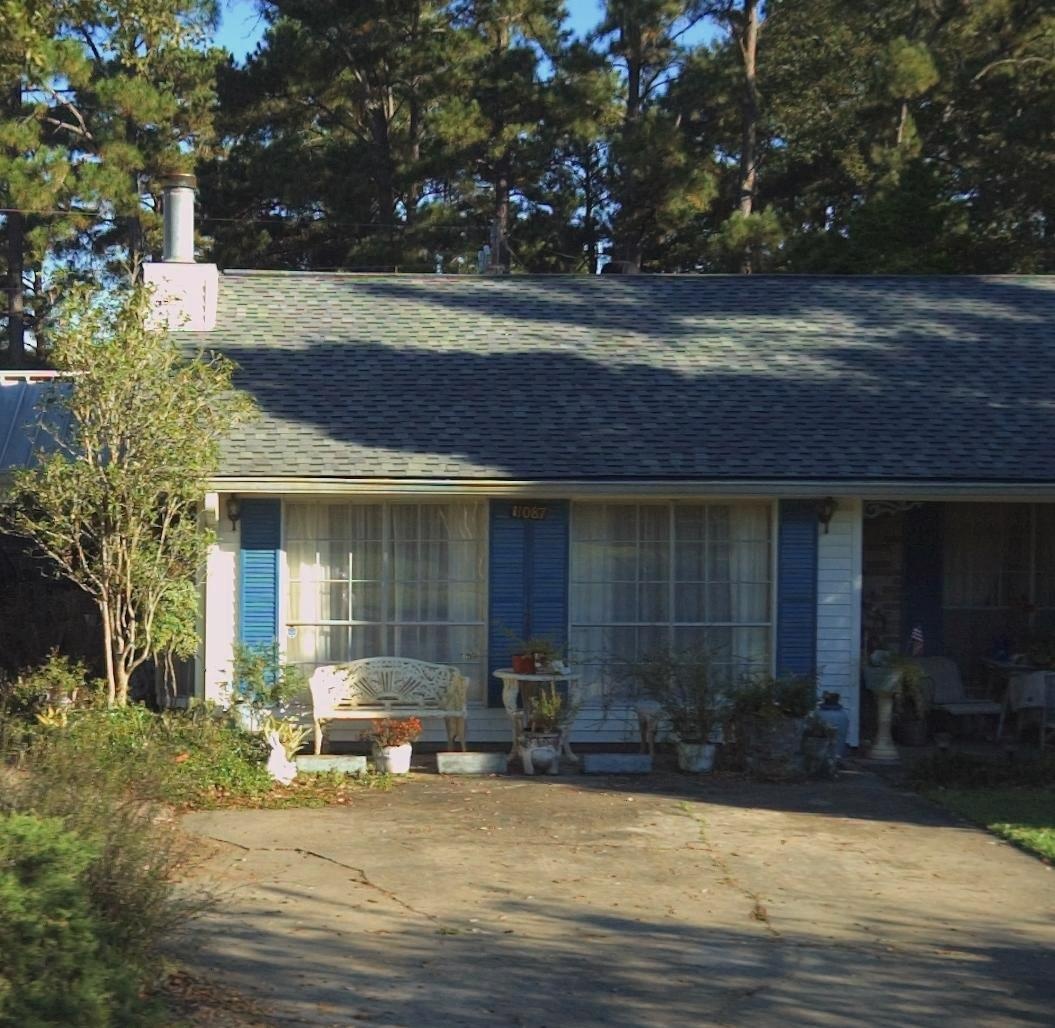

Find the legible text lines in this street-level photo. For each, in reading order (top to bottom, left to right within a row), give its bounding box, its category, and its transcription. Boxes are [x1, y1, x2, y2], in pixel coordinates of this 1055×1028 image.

[511, 504, 548, 521] StreetNumber: 11087